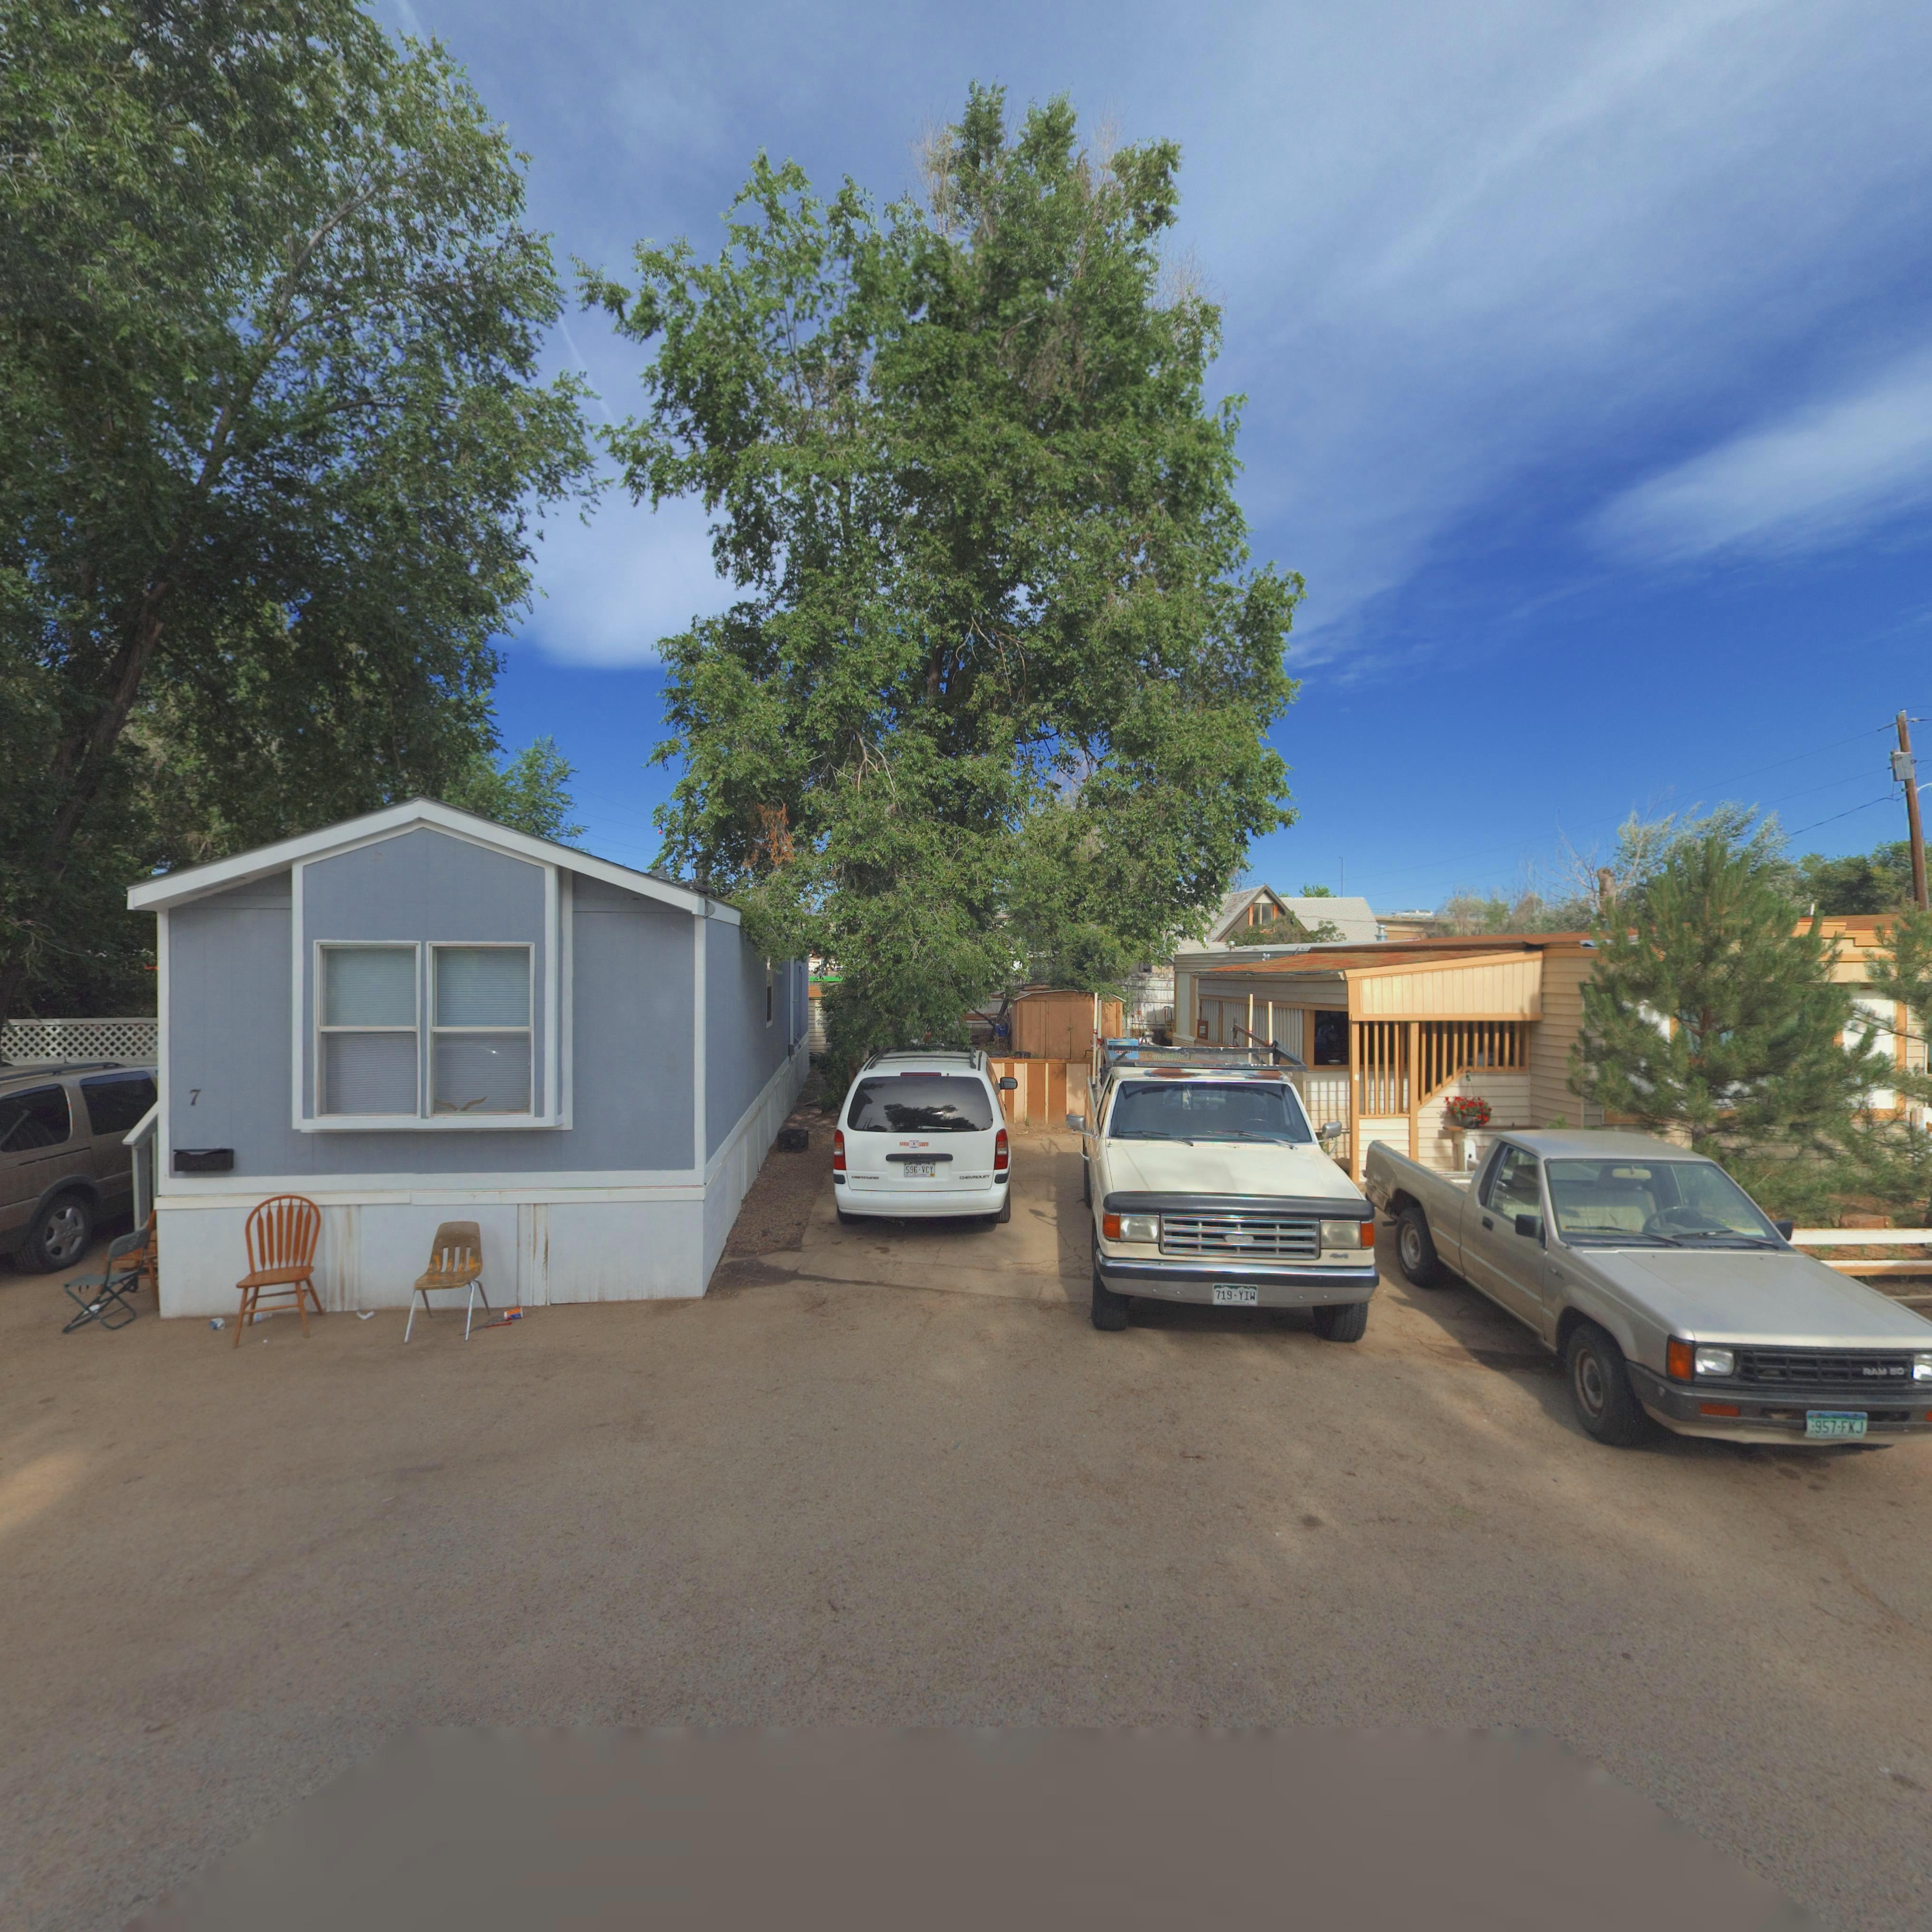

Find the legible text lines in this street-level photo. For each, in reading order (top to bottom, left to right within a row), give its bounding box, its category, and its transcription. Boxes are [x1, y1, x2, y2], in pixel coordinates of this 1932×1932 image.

[188, 1088, 203, 1106] StreetNumber: 7